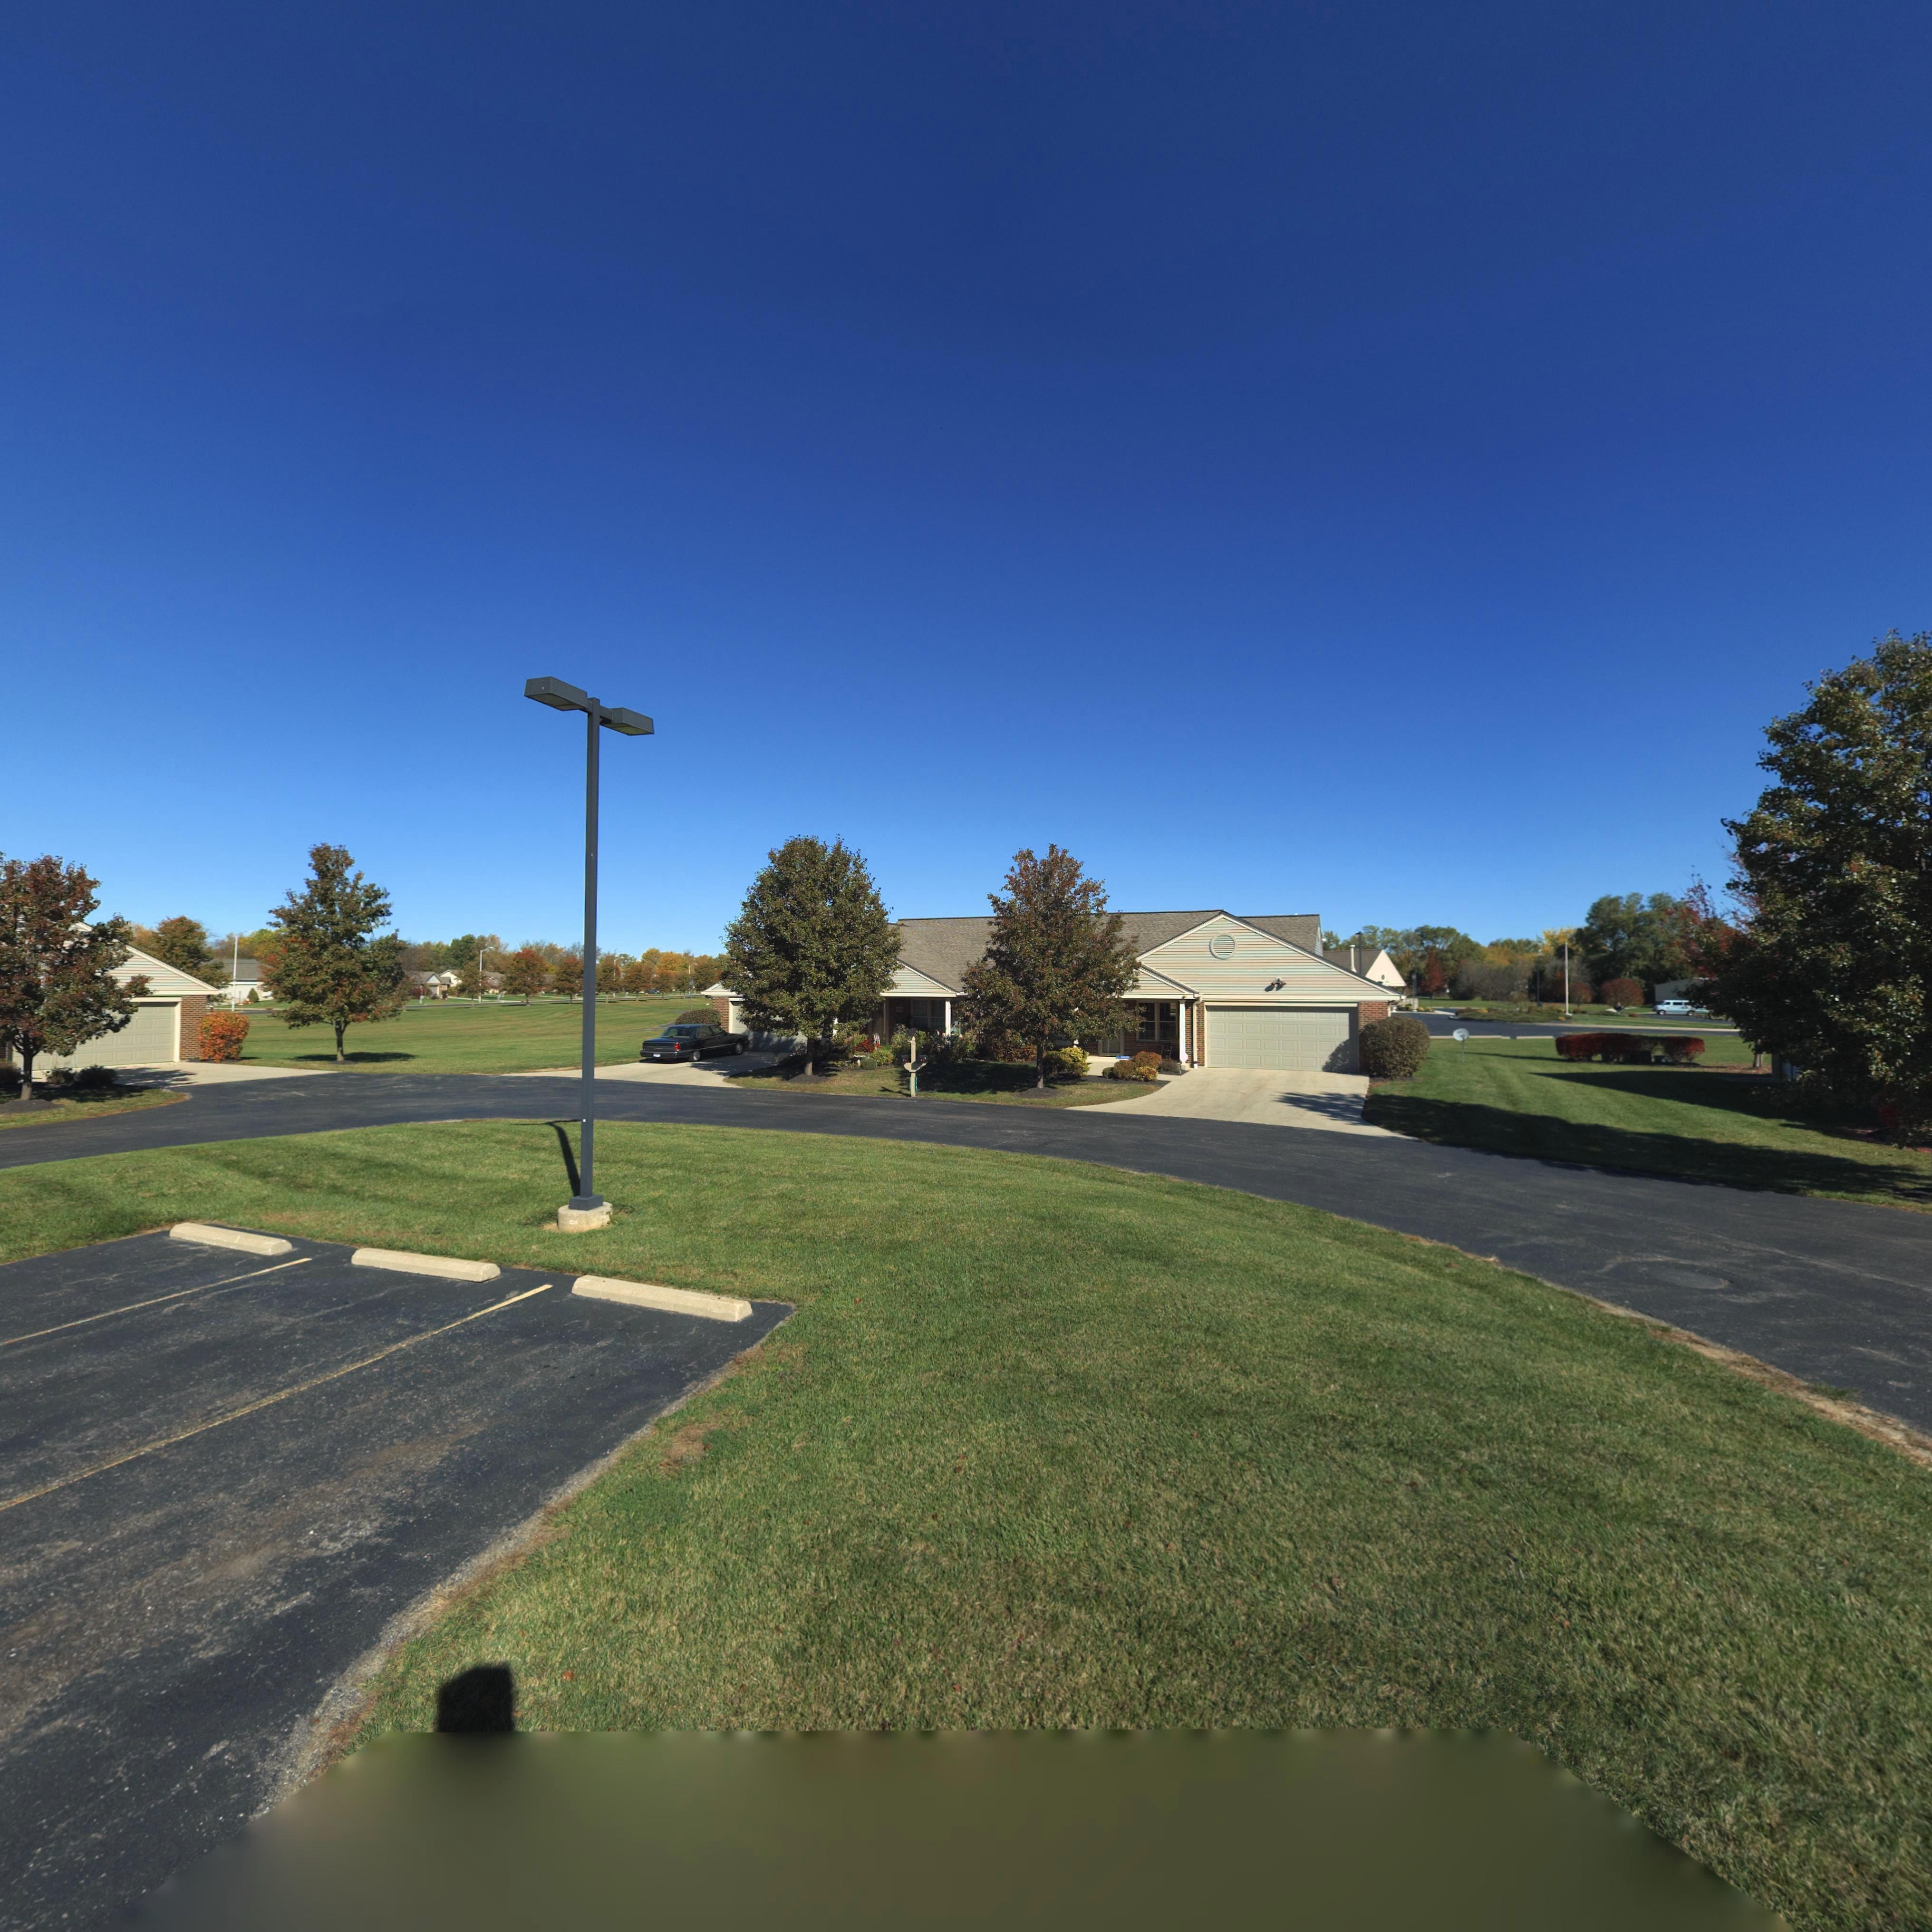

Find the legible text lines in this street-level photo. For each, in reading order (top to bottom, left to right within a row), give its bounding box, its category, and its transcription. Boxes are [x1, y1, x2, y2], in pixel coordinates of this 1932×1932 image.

[896, 1007, 903, 1011] StreetNumber: 7**